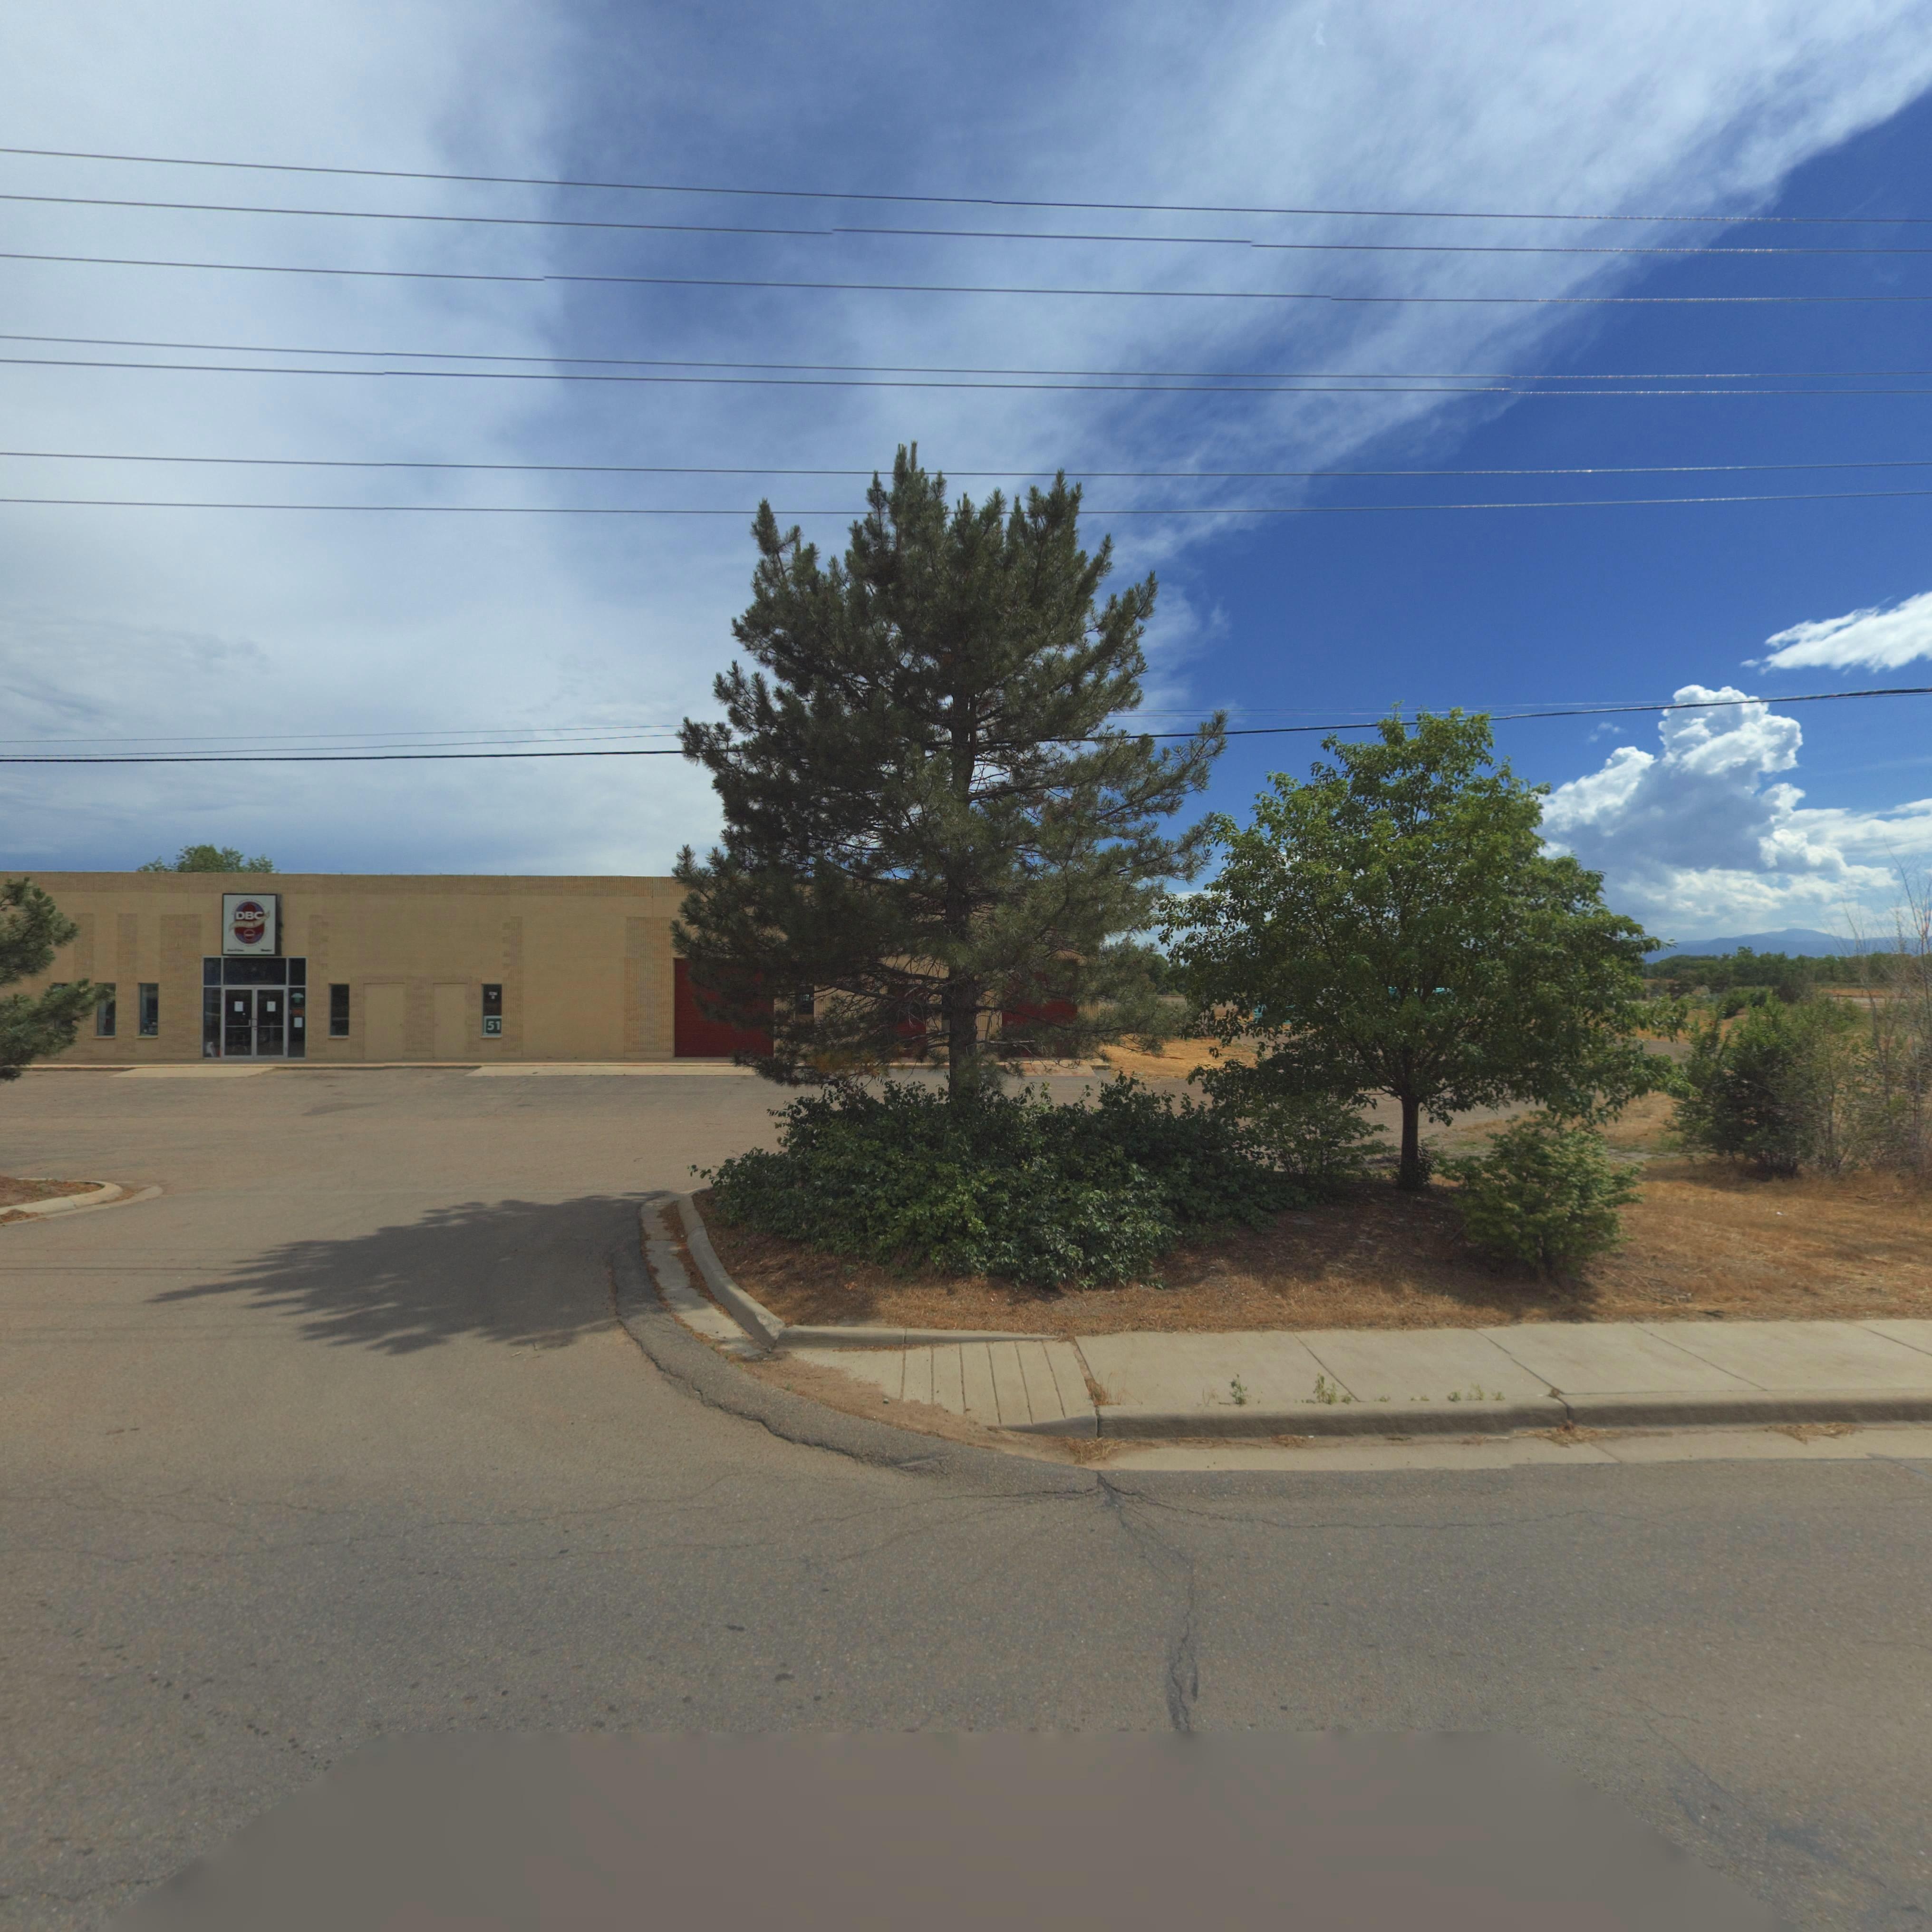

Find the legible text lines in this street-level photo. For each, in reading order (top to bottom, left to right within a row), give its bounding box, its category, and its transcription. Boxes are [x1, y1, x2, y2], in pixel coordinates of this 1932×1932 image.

[235, 911, 263, 919] BusinessName: DBC
[487, 1021, 500, 1030] StreetNumber: 51